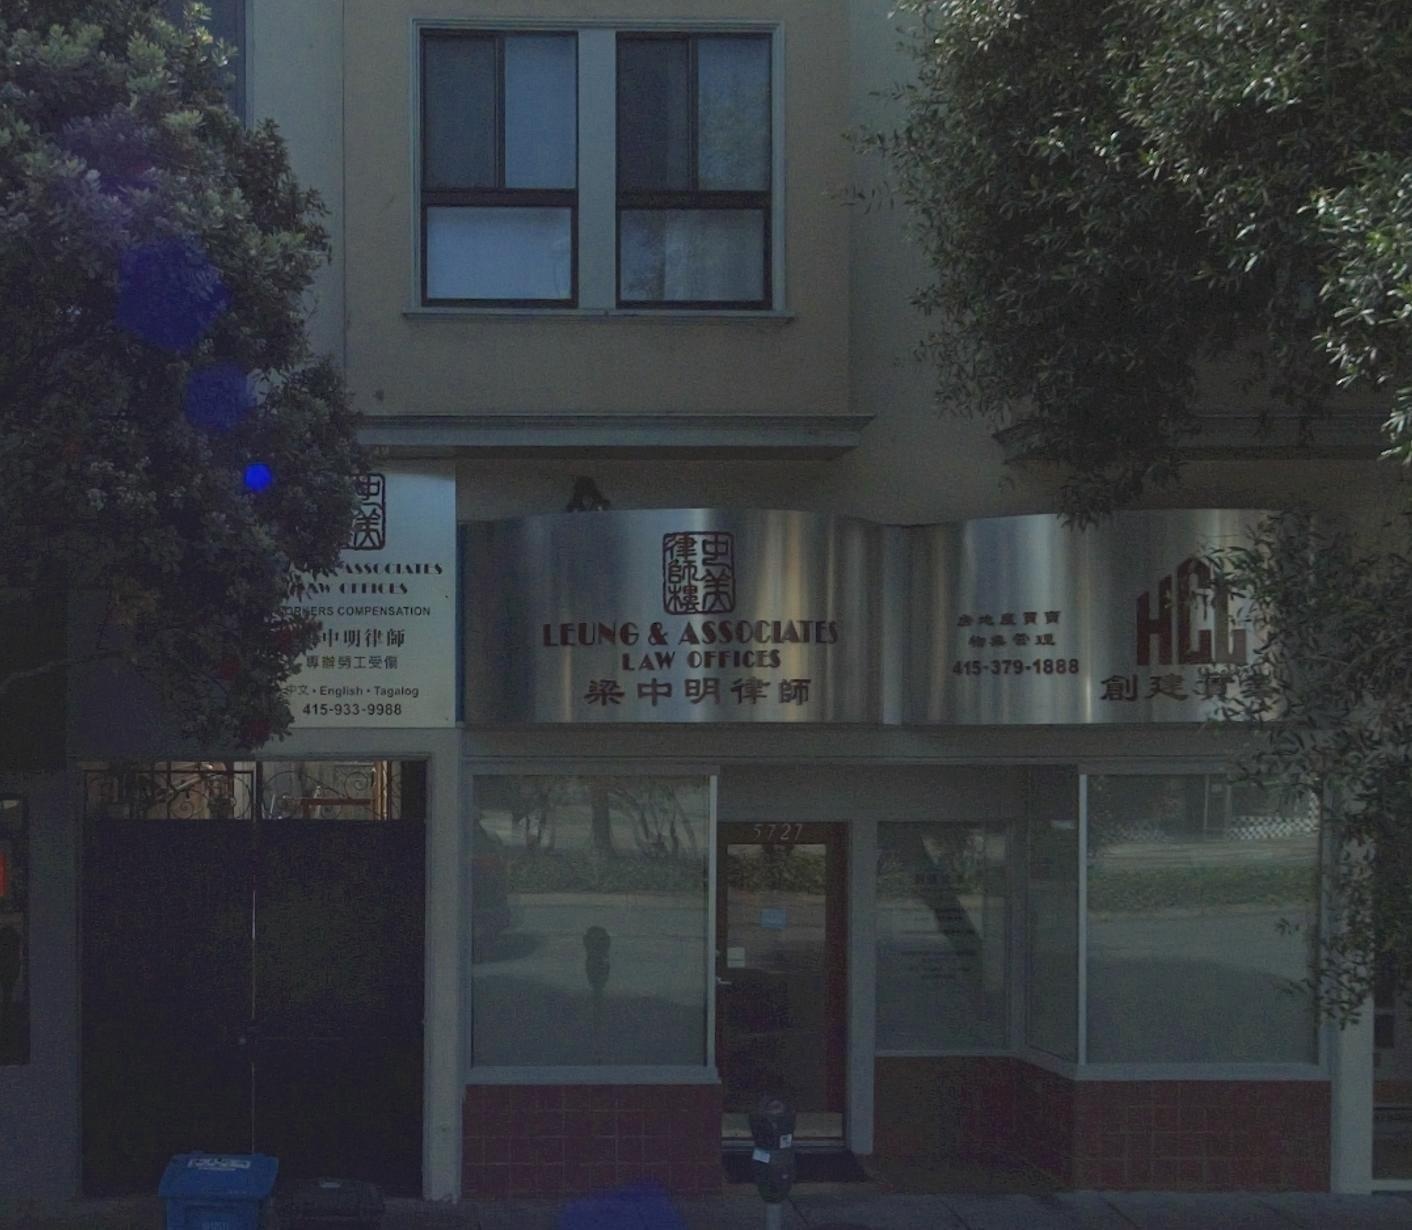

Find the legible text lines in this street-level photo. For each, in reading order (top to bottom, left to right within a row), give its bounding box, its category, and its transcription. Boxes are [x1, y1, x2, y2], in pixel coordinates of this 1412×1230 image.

[339, 560, 445, 577] BusinessName: ASSOCIATES
[306, 579, 413, 596] BusinessName: AW OFFICES
[308, 604, 434, 618] None: ERS COMPENSATION
[1134, 552, 1249, 668] BusinessName: HC*
[541, 614, 841, 649] BusinessName: LEUNG & ASSOCIATES
[619, 648, 782, 672] BusinessName: LAW OFFICES
[948, 656, 1081, 680] None: 415-379-1888
[317, 682, 421, 700] None: English - Tagalog
[299, 700, 403, 718] None: 415-933-9988
[746, 821, 807, 843] StreetNumber: 5727